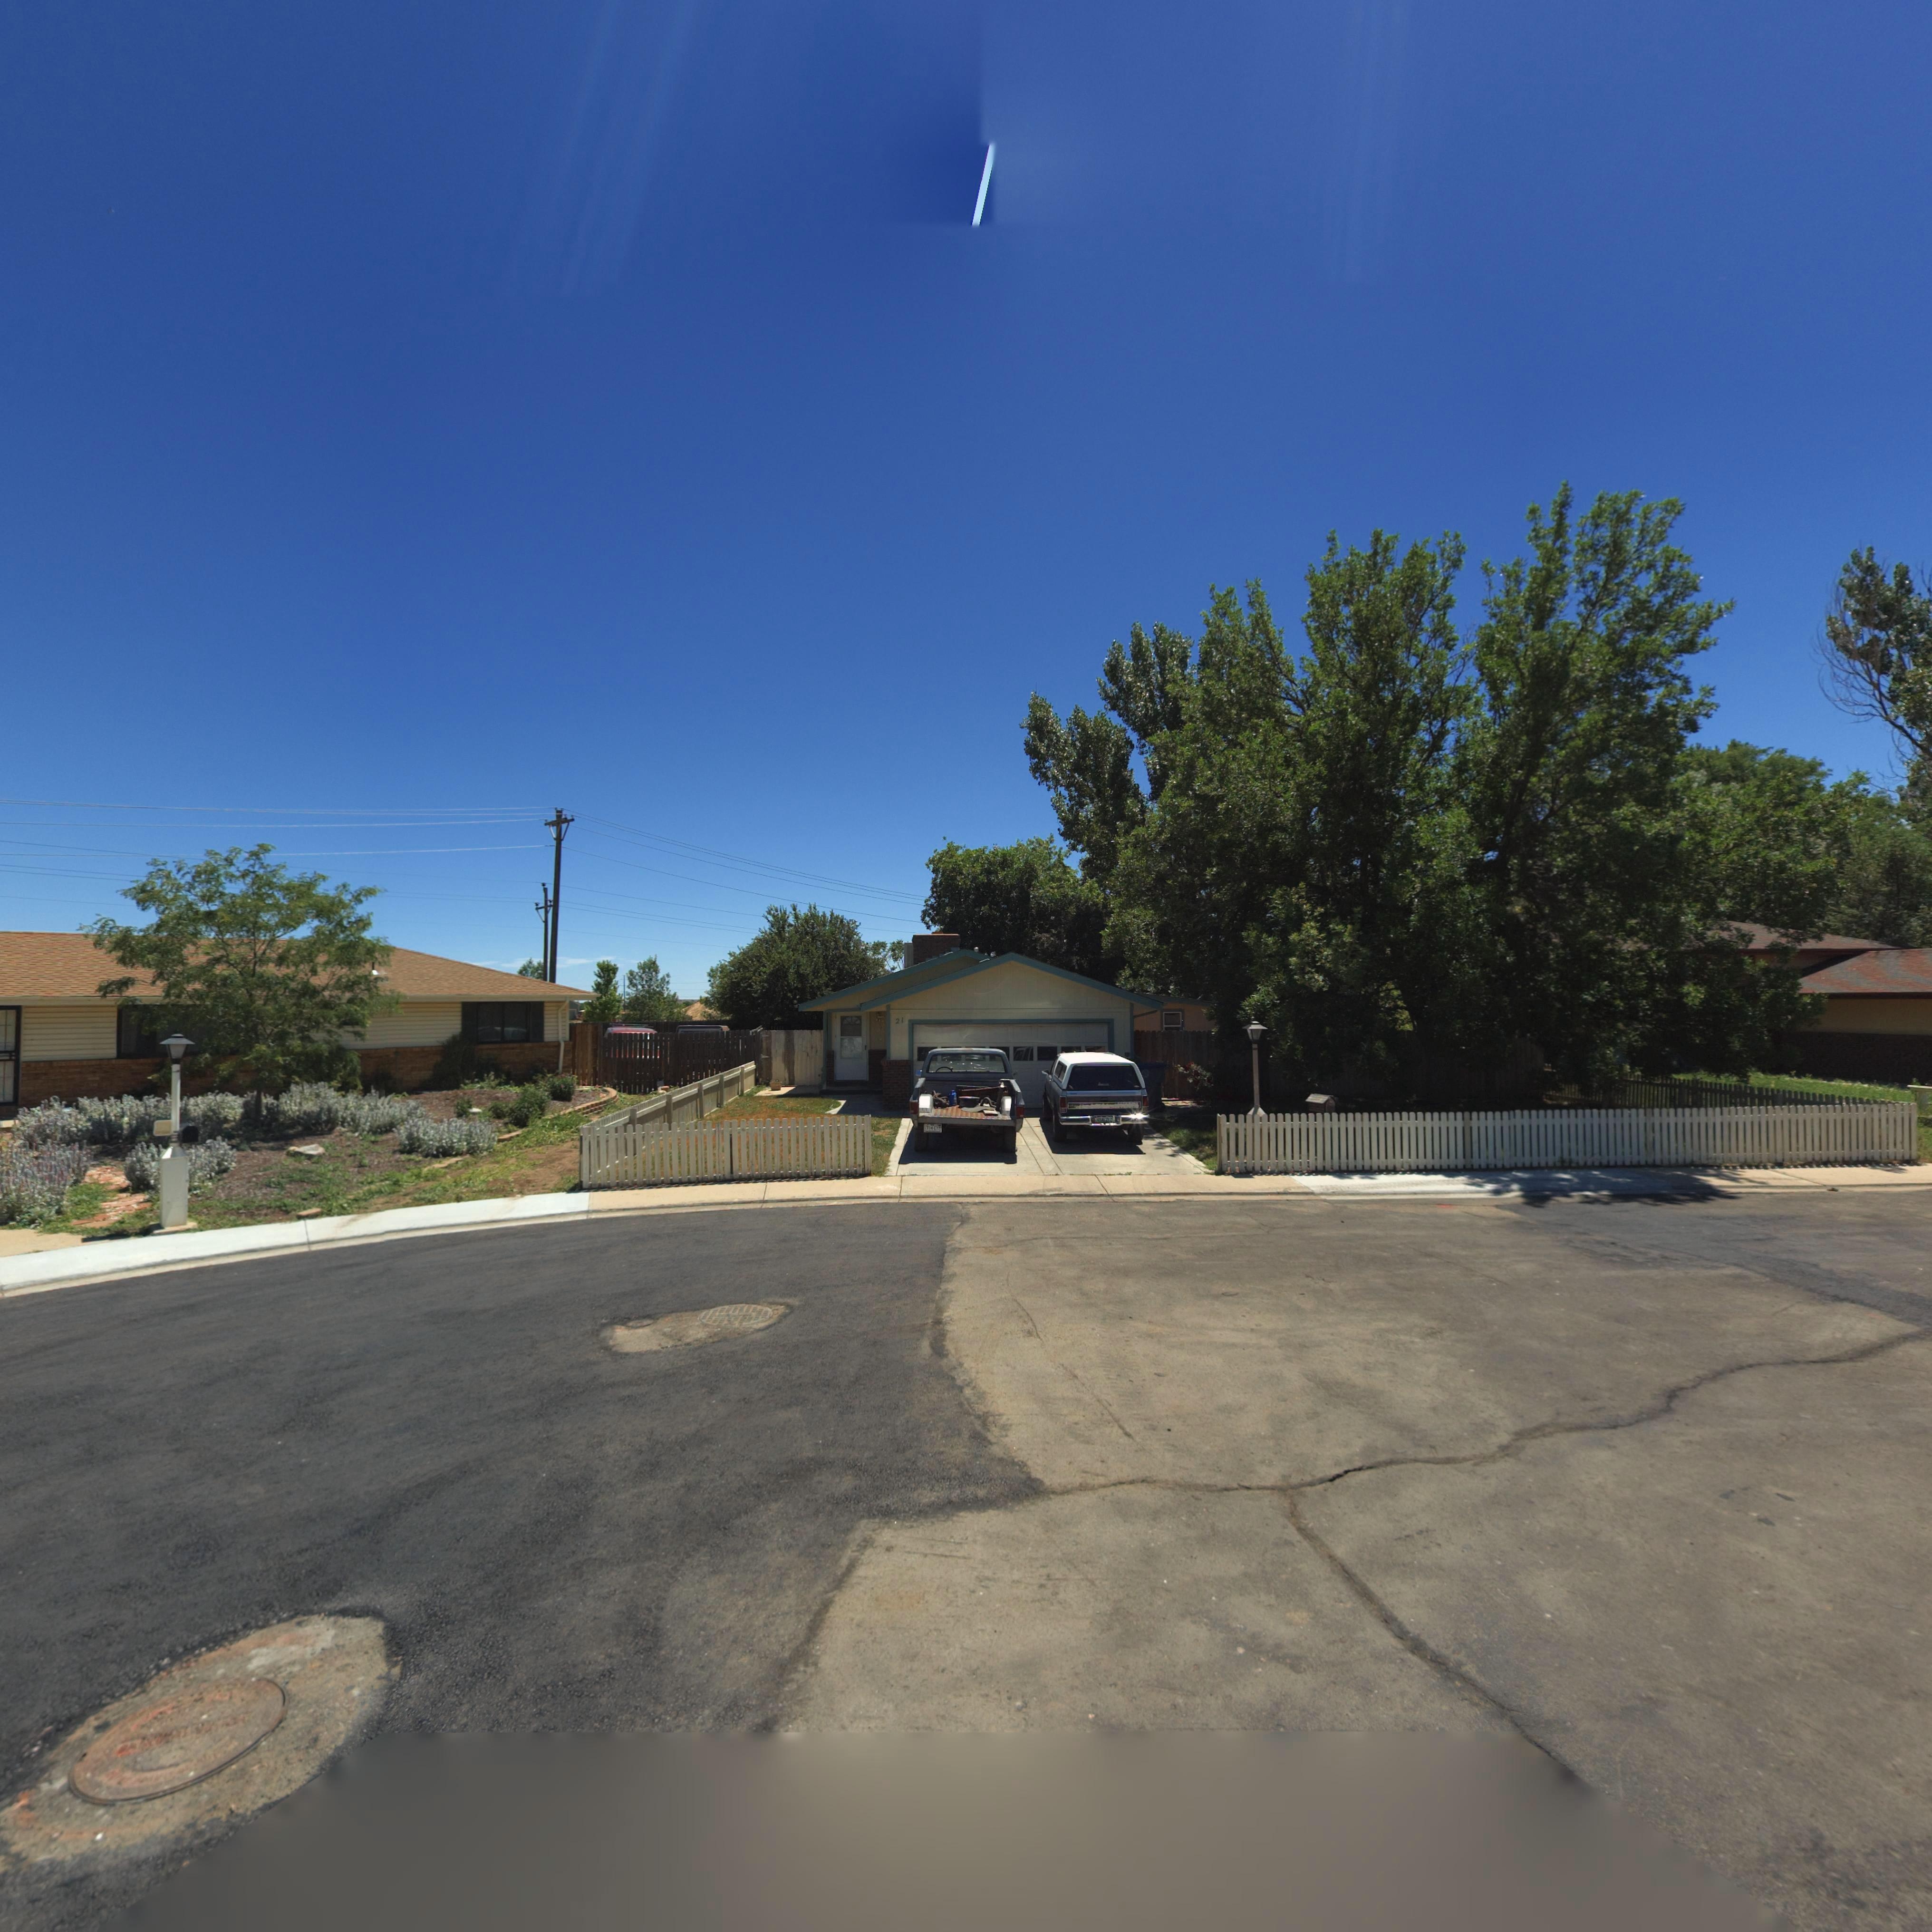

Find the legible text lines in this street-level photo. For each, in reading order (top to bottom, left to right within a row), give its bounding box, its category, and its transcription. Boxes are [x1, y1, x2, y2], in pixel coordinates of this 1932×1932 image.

[895, 1016, 904, 1024] StreetNumber: 21